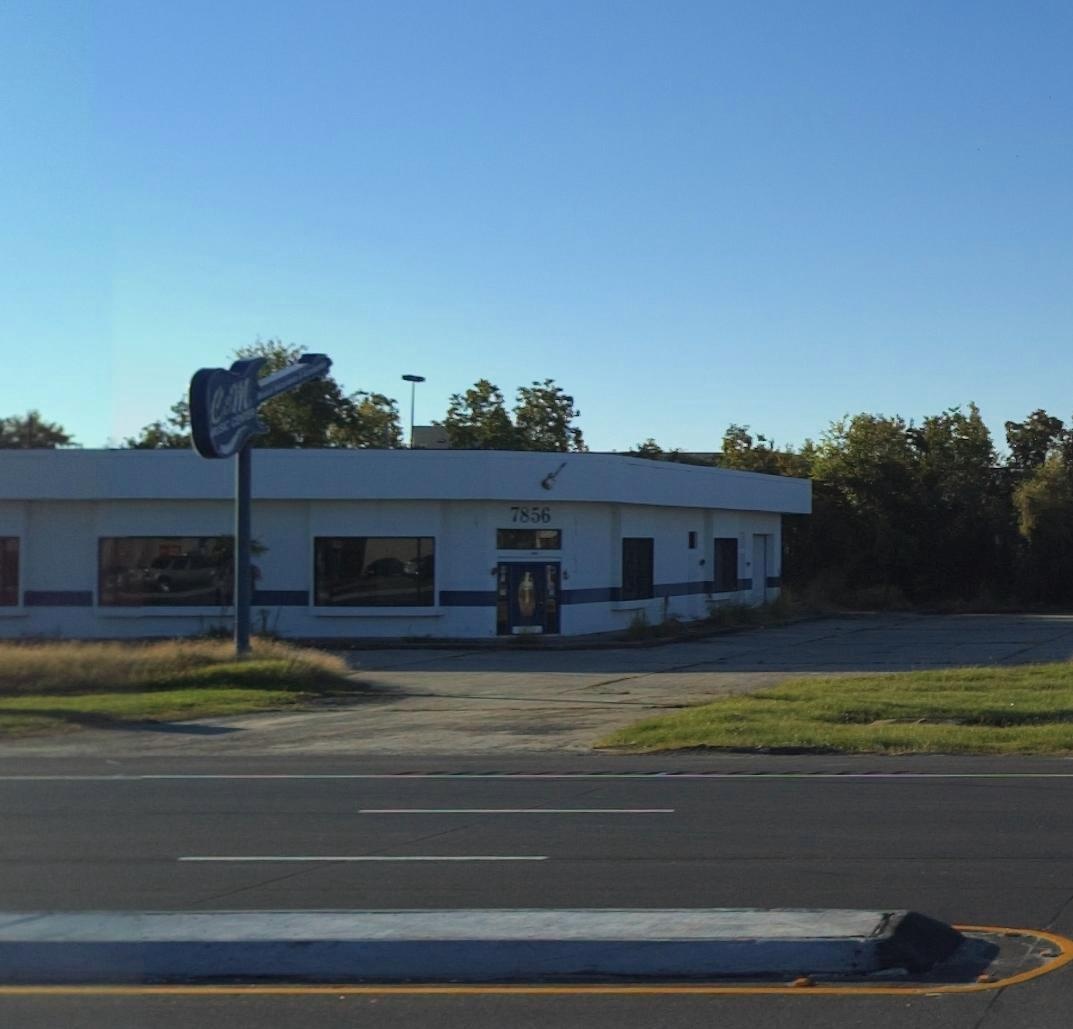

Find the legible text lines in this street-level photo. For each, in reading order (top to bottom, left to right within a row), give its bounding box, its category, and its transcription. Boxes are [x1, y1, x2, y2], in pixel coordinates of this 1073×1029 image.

[205, 372, 255, 429] BusinessName: C&M
[508, 504, 553, 526] StreetNumber: 7856